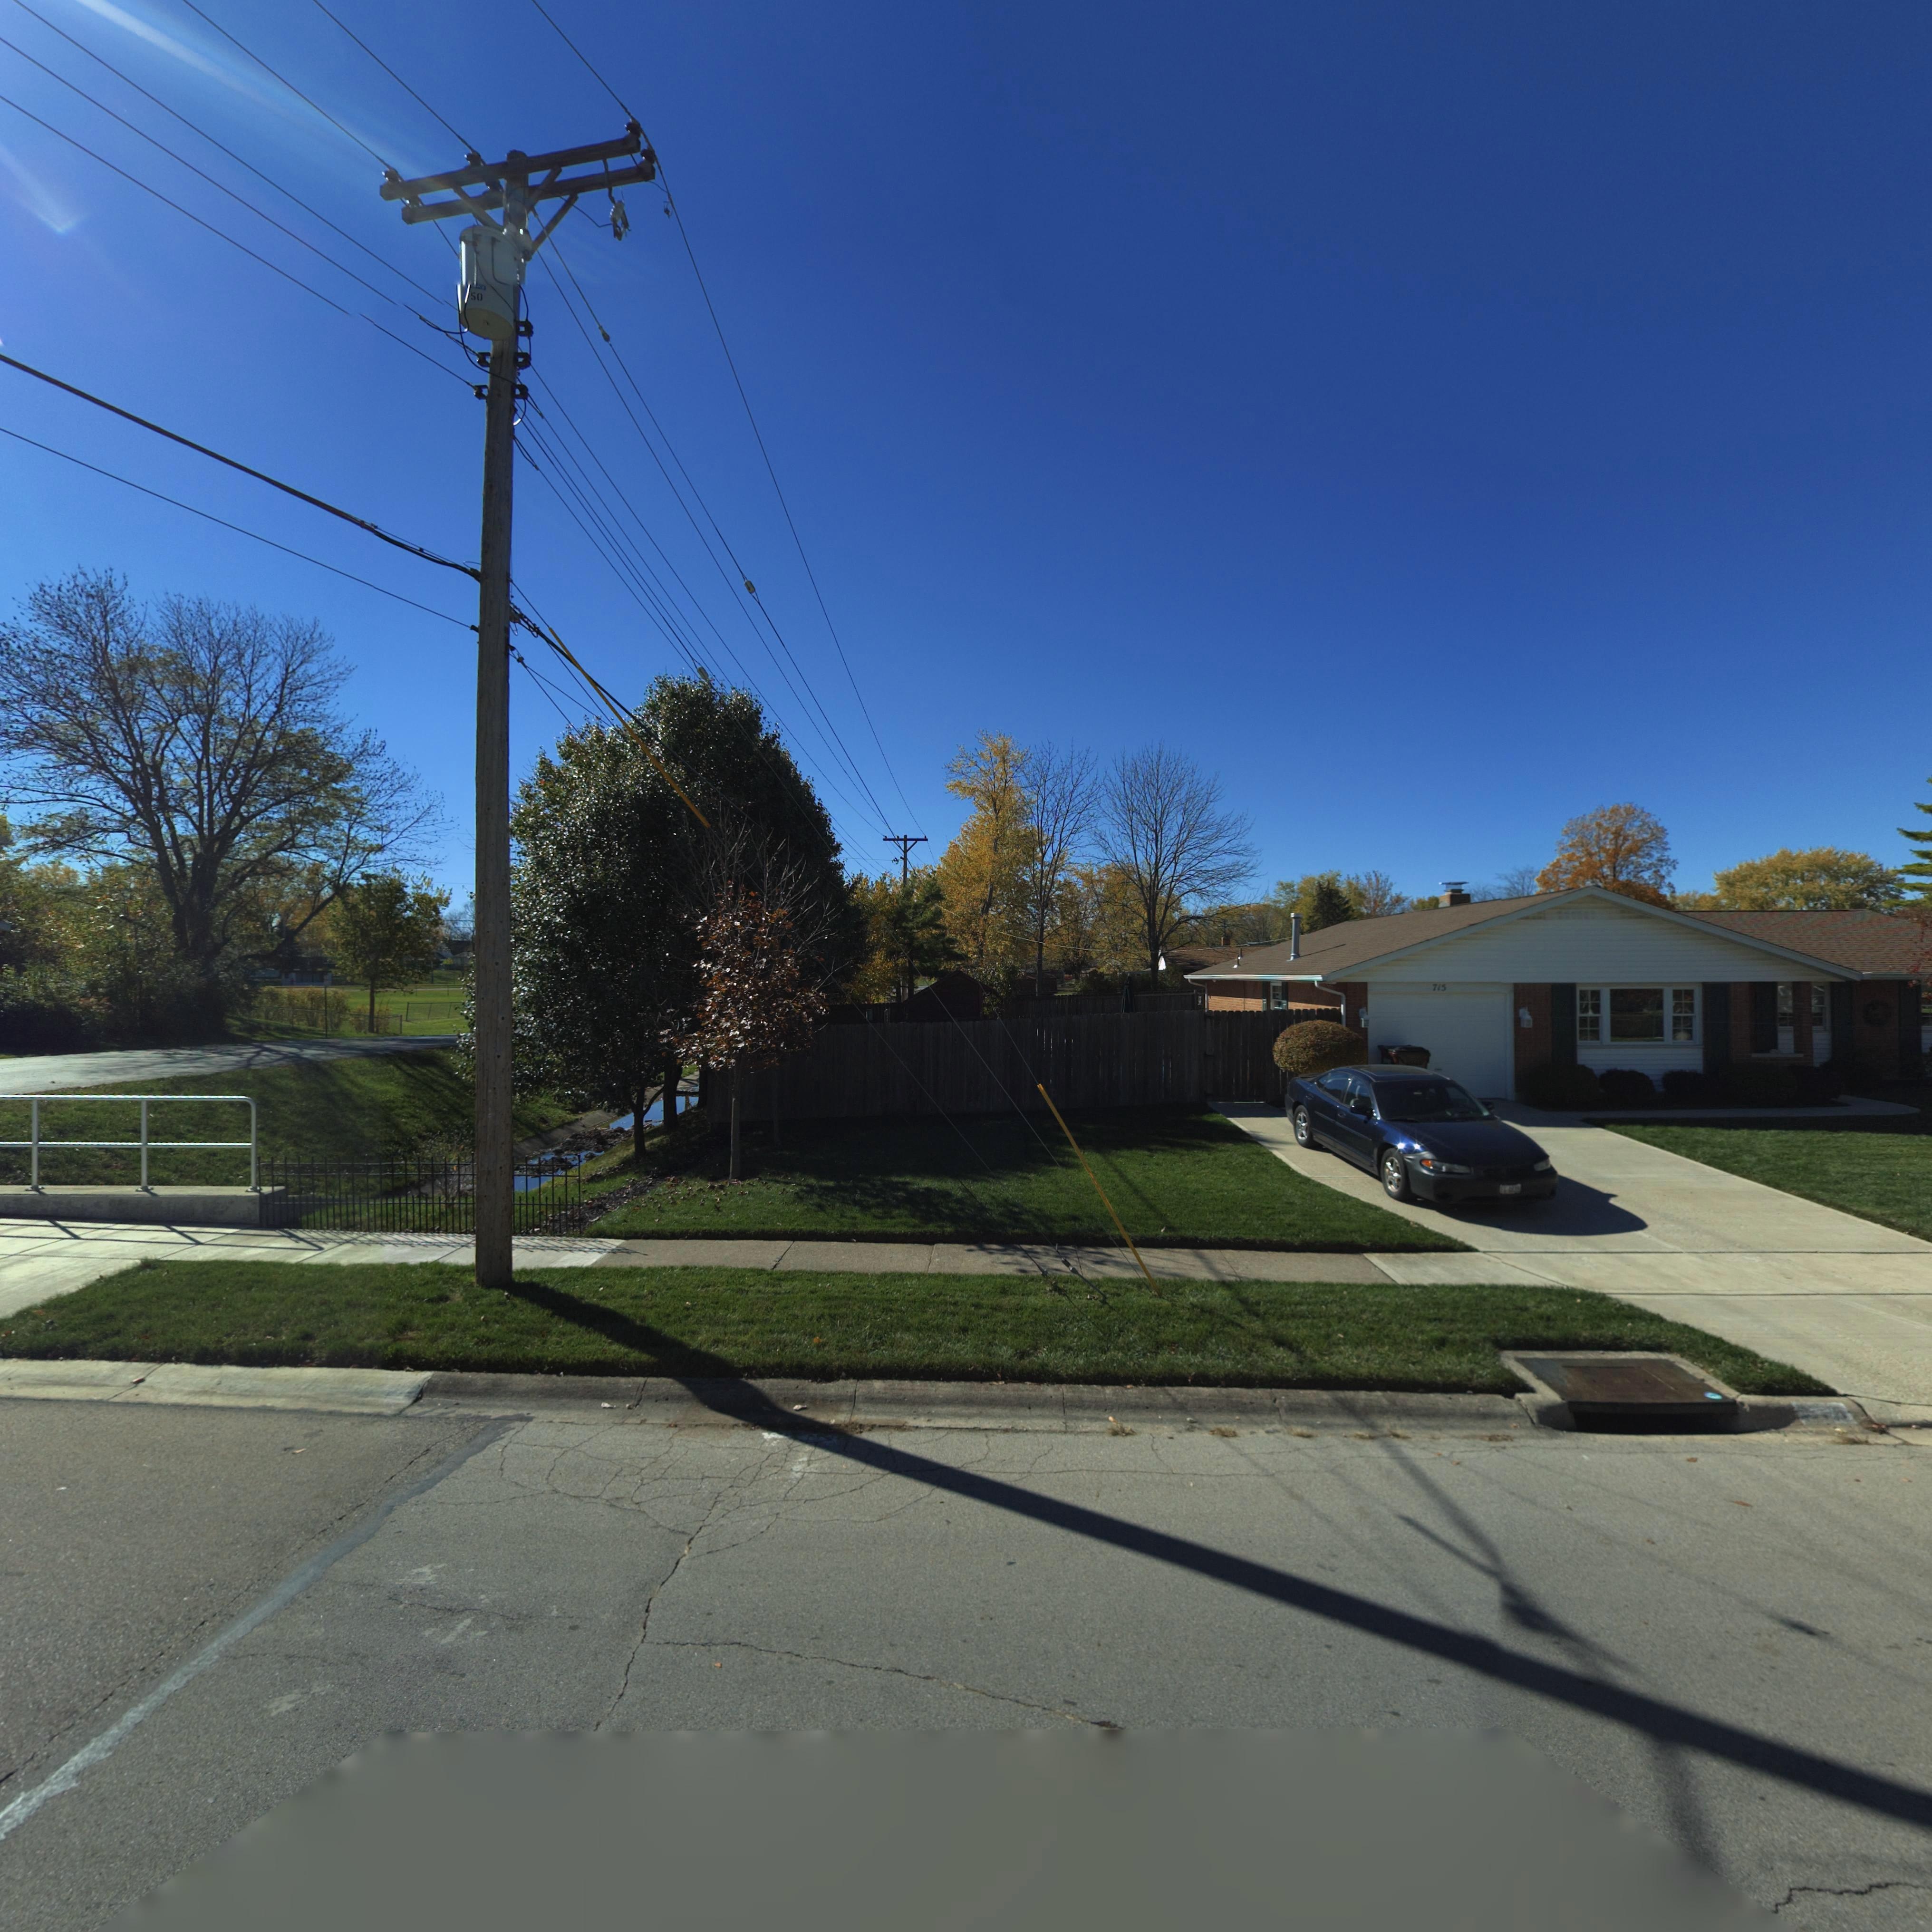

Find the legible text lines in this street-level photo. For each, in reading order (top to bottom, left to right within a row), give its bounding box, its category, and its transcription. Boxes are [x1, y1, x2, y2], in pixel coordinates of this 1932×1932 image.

[1431, 983, 1448, 992] StreetNumber: 715